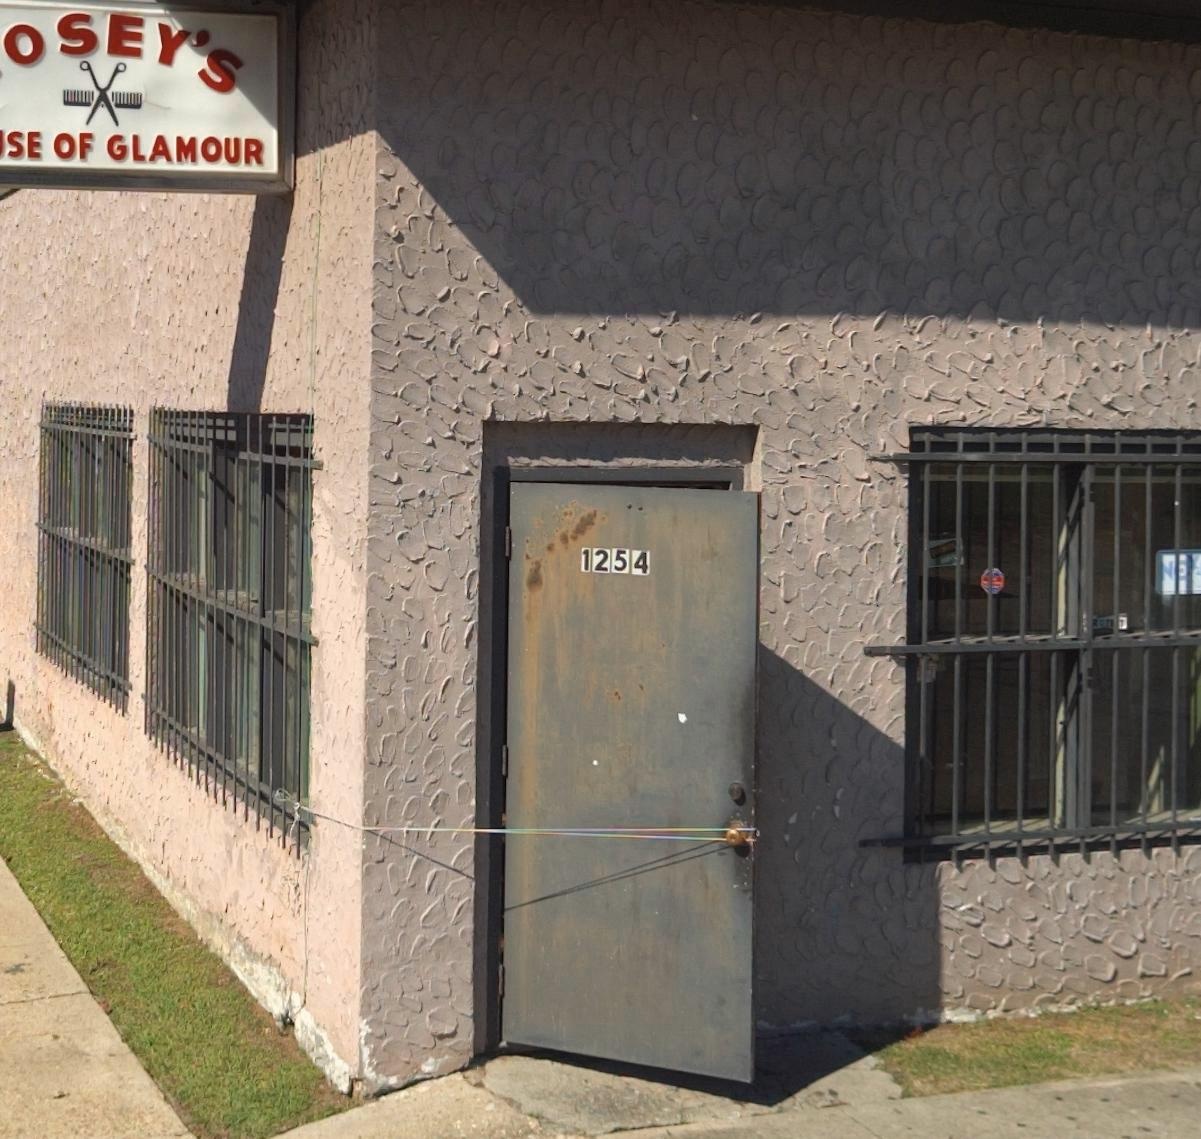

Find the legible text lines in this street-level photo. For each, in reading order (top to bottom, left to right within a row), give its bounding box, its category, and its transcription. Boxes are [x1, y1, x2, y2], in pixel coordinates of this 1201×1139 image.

[1, 9, 248, 96] BusinessName: OSEY'S
[4, 127, 267, 169] None: SE OF GLAMOUR
[580, 546, 651, 577] StreetNumber: 1254